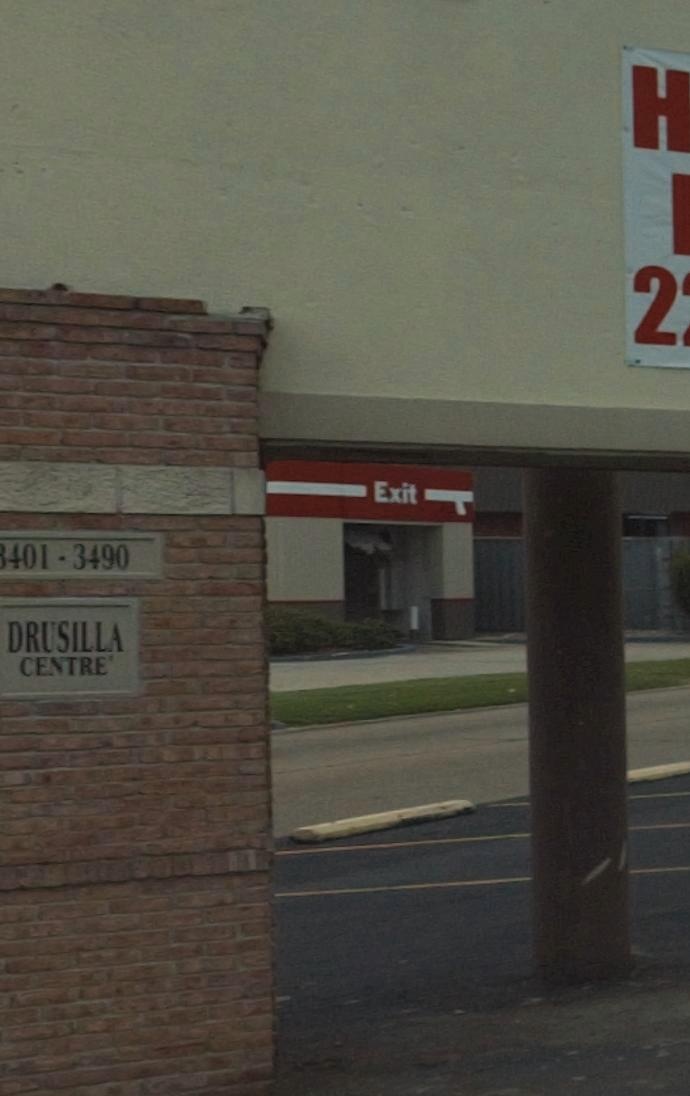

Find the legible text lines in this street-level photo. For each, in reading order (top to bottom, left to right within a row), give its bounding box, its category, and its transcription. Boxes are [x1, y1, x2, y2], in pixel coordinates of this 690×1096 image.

[632, 62, 690, 154] None: H
[632, 264, 678, 347] None: 2
[373, 480, 418, 504] None: Exit
[0, 542, 134, 570] StreetNumber: *401-3490
[7, 620, 124, 653] BusinessName: DRUSILLA
[18, 656, 109, 677] BusinessName: CENTRE